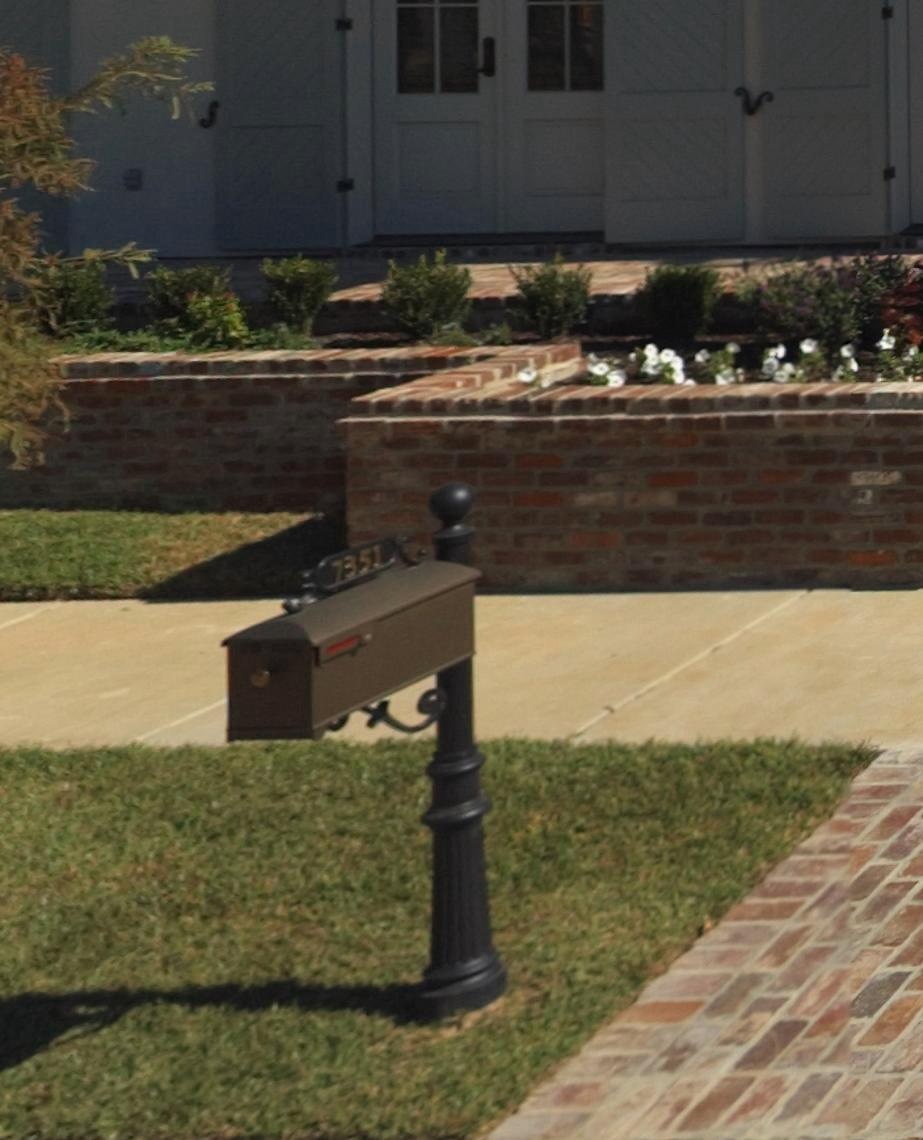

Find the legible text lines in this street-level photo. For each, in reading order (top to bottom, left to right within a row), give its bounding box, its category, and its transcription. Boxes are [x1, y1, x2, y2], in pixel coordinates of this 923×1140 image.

[327, 542, 382, 585] StreetNumber: 7351